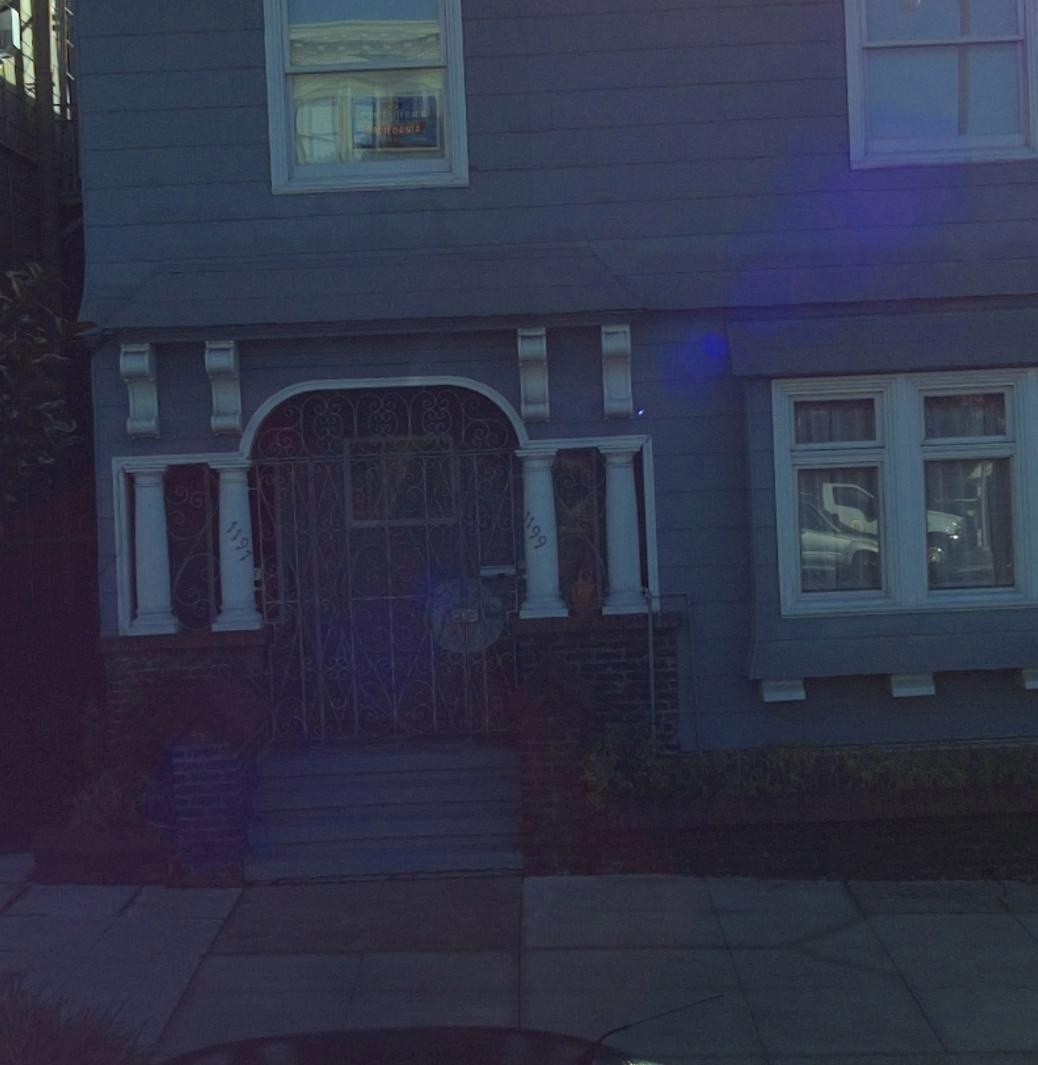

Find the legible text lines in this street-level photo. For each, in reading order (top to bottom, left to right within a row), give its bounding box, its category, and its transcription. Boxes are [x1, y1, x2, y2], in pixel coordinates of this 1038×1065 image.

[390, 123, 422, 136] None: ORNIA
[222, 516, 256, 564] StreetNumber: 1197
[519, 507, 552, 552] StreetNumber: 1199